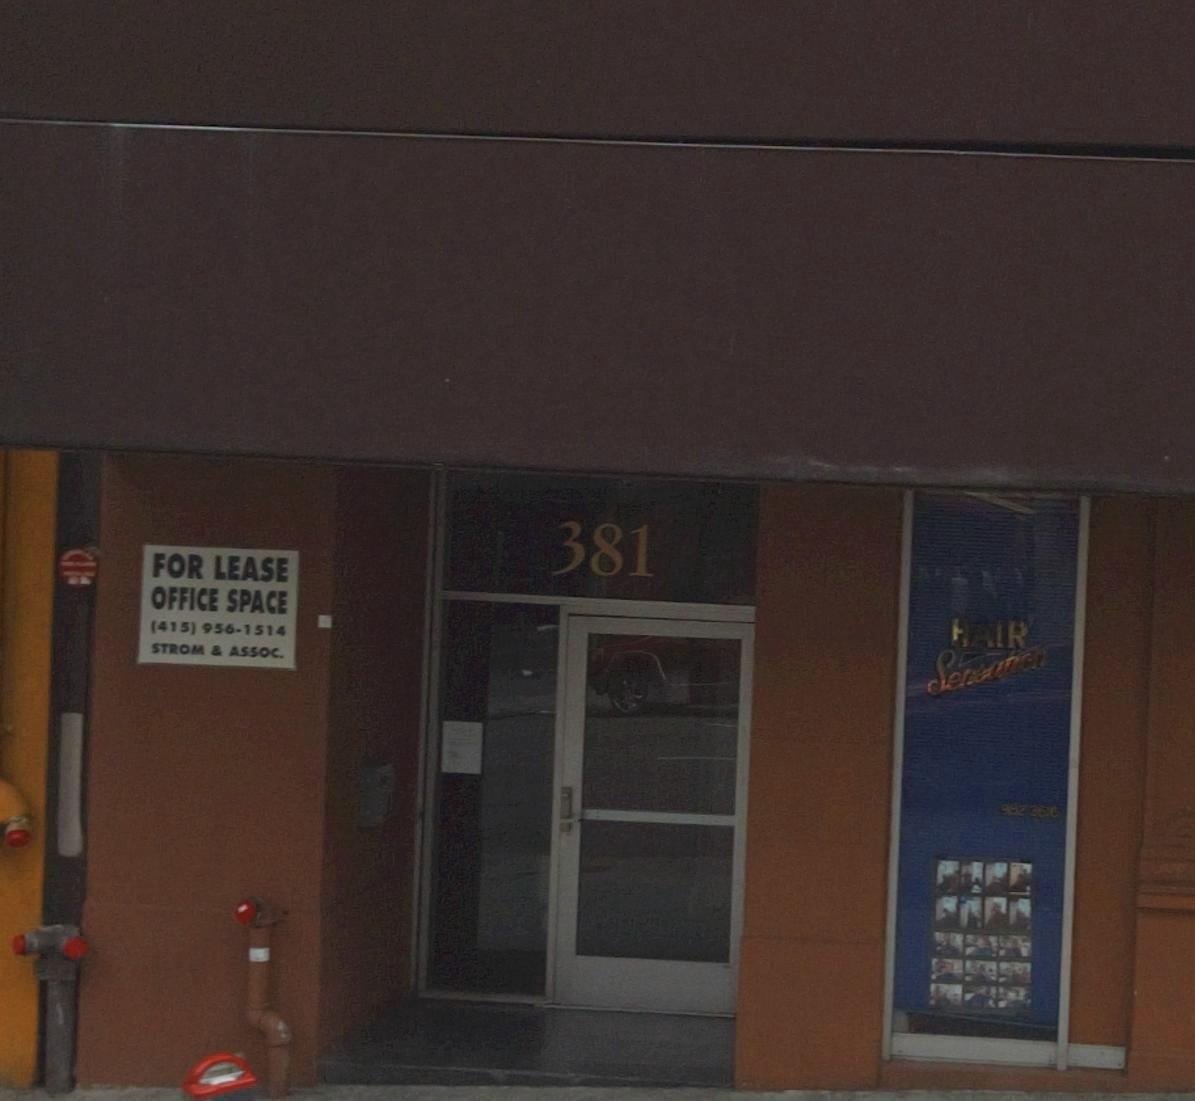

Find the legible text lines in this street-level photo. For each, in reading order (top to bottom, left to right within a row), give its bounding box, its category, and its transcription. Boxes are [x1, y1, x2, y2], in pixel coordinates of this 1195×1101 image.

[549, 518, 656, 579] StreetNumber: 381
[152, 552, 290, 584] None: FOR LEASE
[150, 584, 287, 615] None: OFFICE SPACE
[149, 619, 286, 638] None: (415) 956-1514
[949, 617, 1030, 650] BusinessName: HAIR
[150, 641, 285, 660] None: STROM & ASSOC.
[927, 648, 989, 697] BusinessName: Sene
[1001, 802, 1059, 818] None: 982 361*